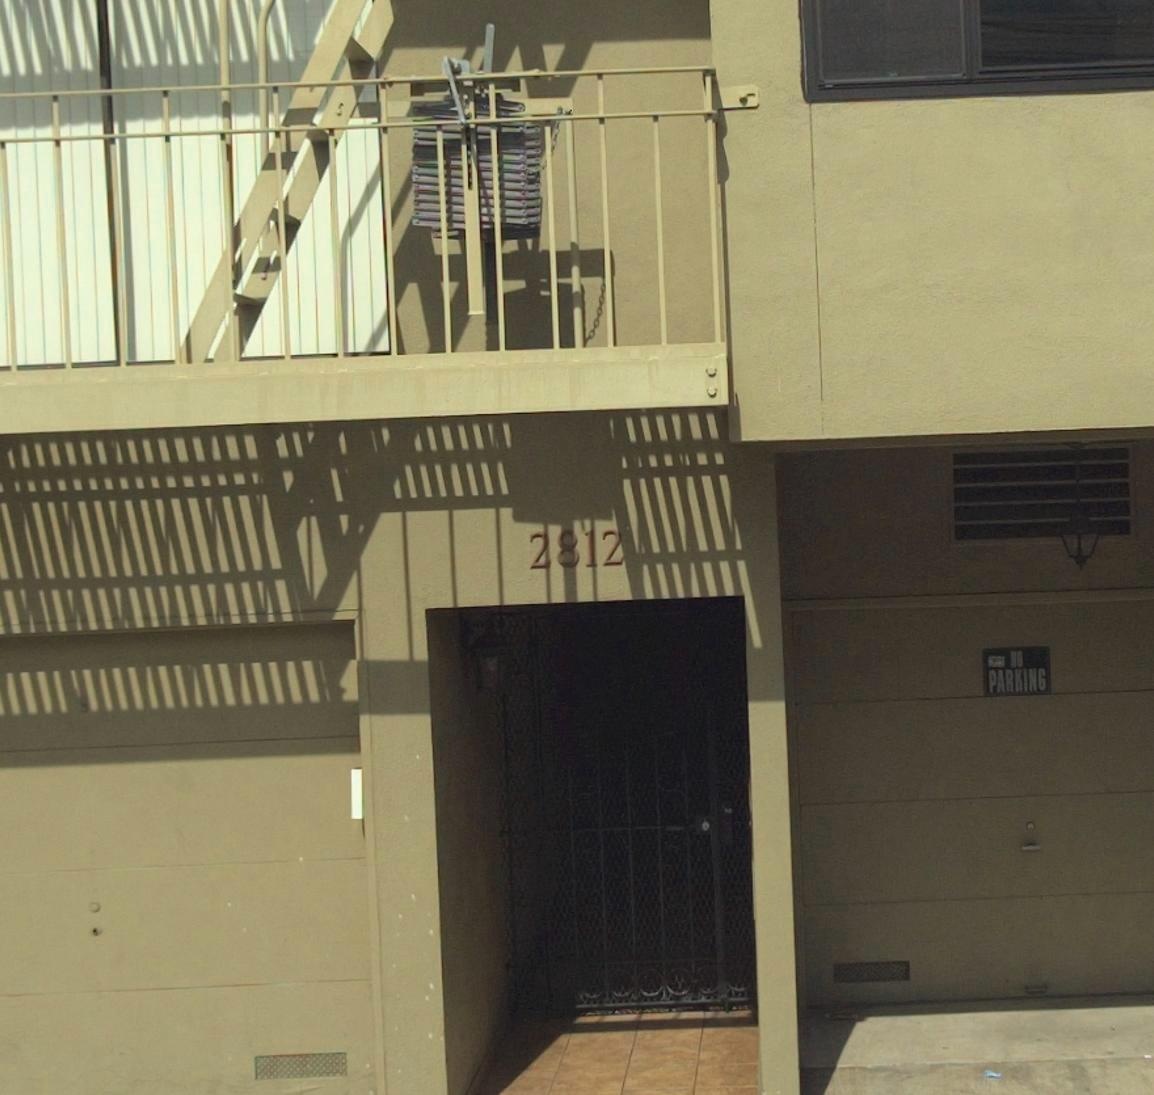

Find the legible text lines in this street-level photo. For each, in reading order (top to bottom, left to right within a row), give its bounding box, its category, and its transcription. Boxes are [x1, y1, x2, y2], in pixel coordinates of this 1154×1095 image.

[527, 524, 628, 572] StreetNumber: 2812
[1007, 648, 1026, 670] None: NO'
[985, 665, 1049, 695] None: PARKING